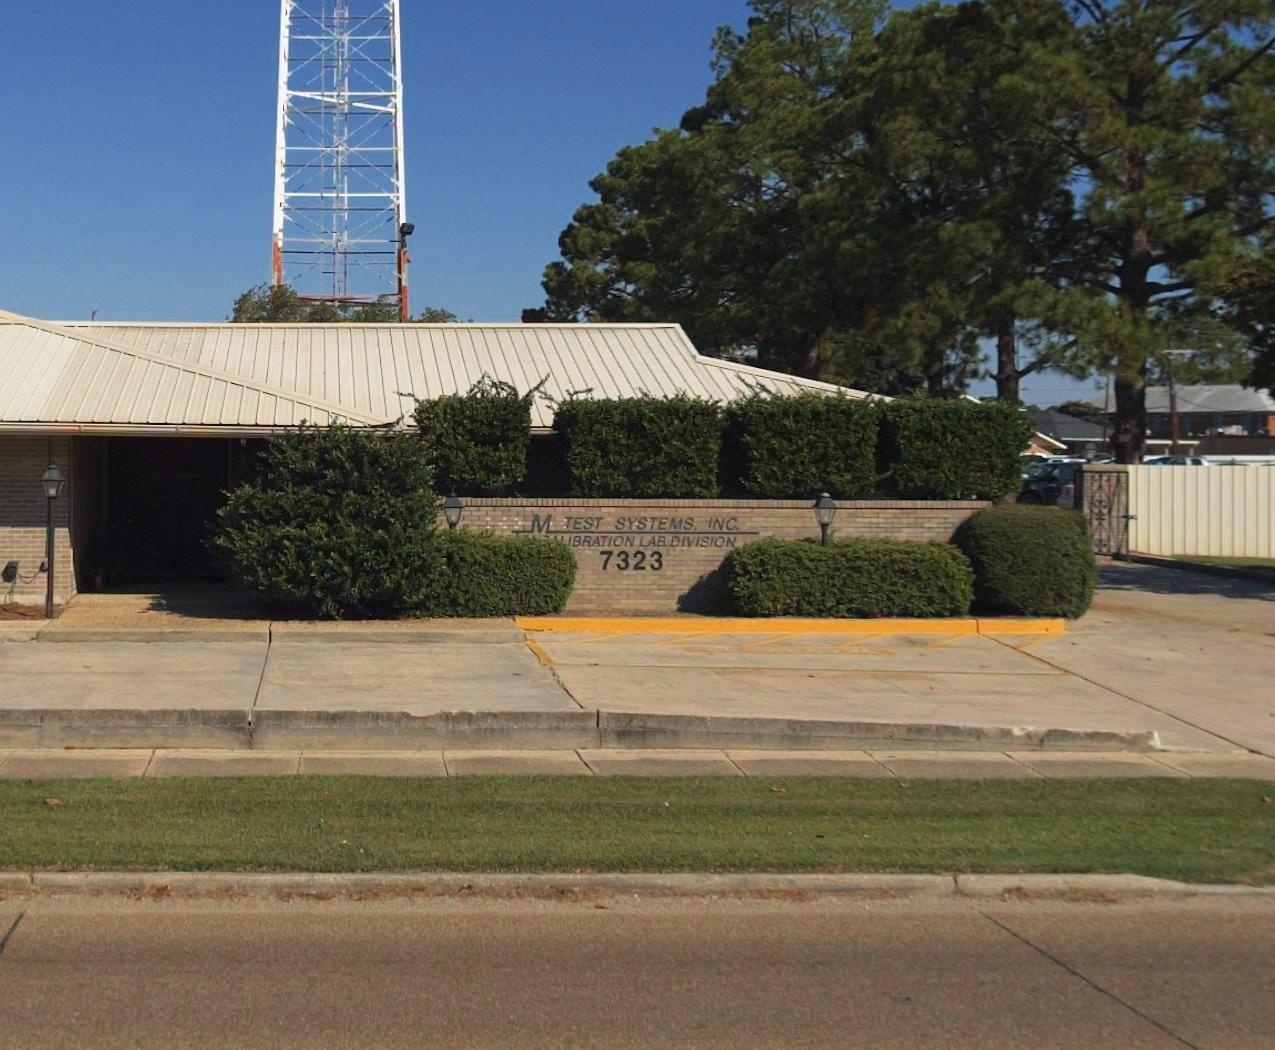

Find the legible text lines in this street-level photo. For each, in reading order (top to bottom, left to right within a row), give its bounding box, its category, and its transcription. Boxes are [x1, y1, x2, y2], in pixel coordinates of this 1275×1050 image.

[527, 512, 742, 535] BusinessName: M TEST SYSTEMS, INC.
[570, 533, 738, 549] None: BRATION LAB DIVISION
[597, 548, 666, 573] StreetNumber: 7323